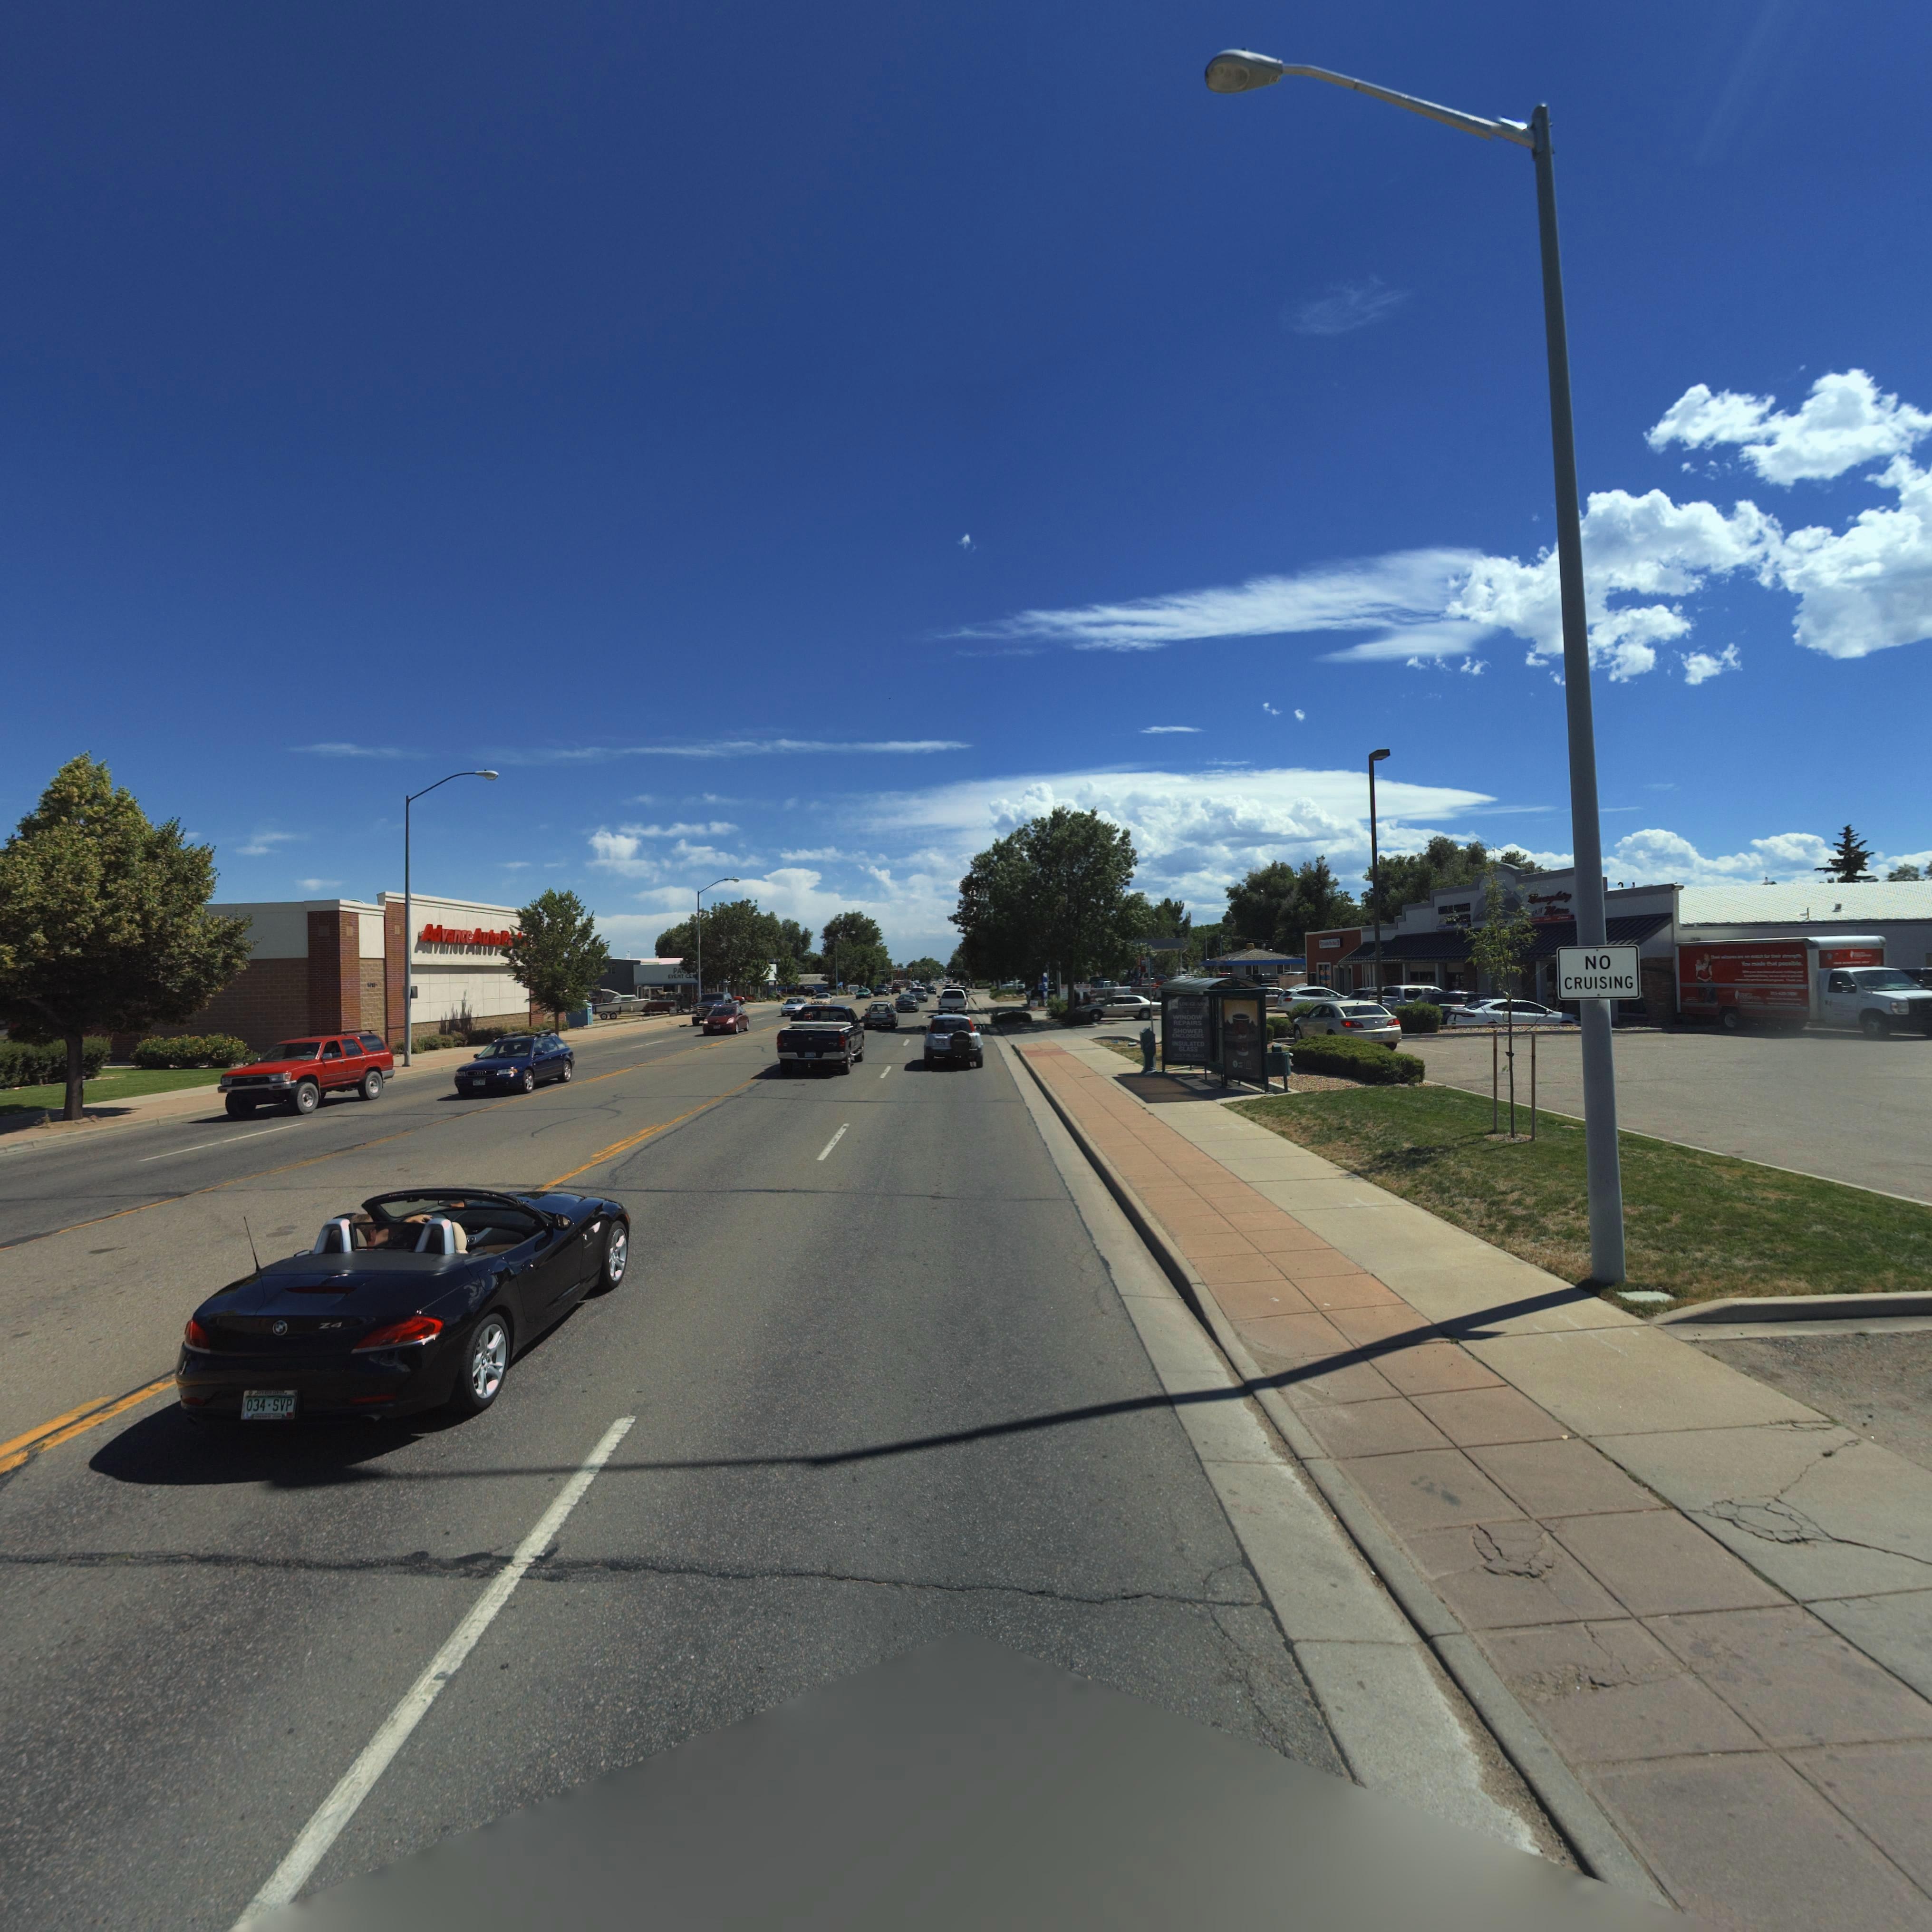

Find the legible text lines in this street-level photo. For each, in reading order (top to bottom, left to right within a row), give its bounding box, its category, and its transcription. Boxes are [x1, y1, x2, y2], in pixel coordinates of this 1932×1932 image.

[1527, 890, 1572, 905] BusinessName: Naughty
[1438, 903, 1470, 914] BusinessName: MILE HIGH
[1544, 905, 1570, 916] BusinessName: N***
[420, 924, 530, 947] BusinessName: Advance Auto Pa***
[674, 967, 689, 973] BusinessName: PA****
[668, 974, 696, 978] BusinessName: EVENT CEN***